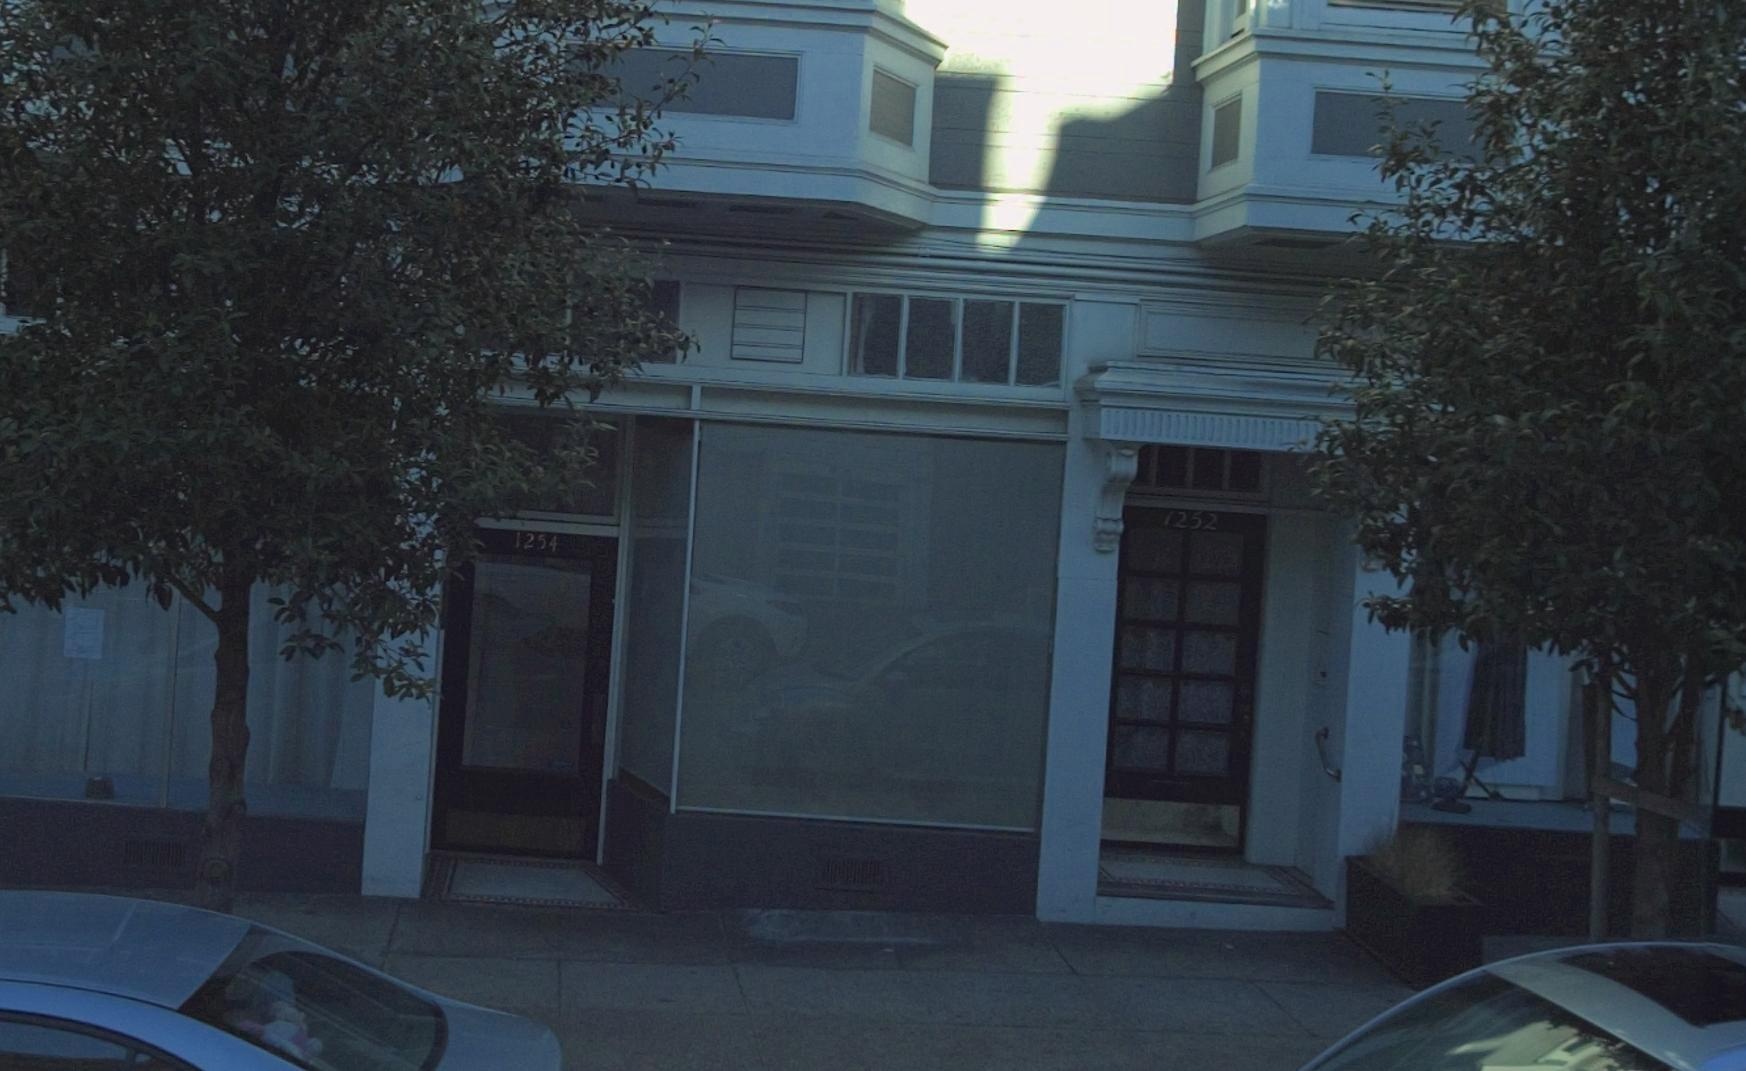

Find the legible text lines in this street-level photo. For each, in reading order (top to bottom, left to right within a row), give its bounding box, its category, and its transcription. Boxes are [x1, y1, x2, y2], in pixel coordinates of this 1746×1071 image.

[1160, 508, 1219, 533] StreetNumber: 1252
[513, 529, 559, 553] StreetNumber: 1254